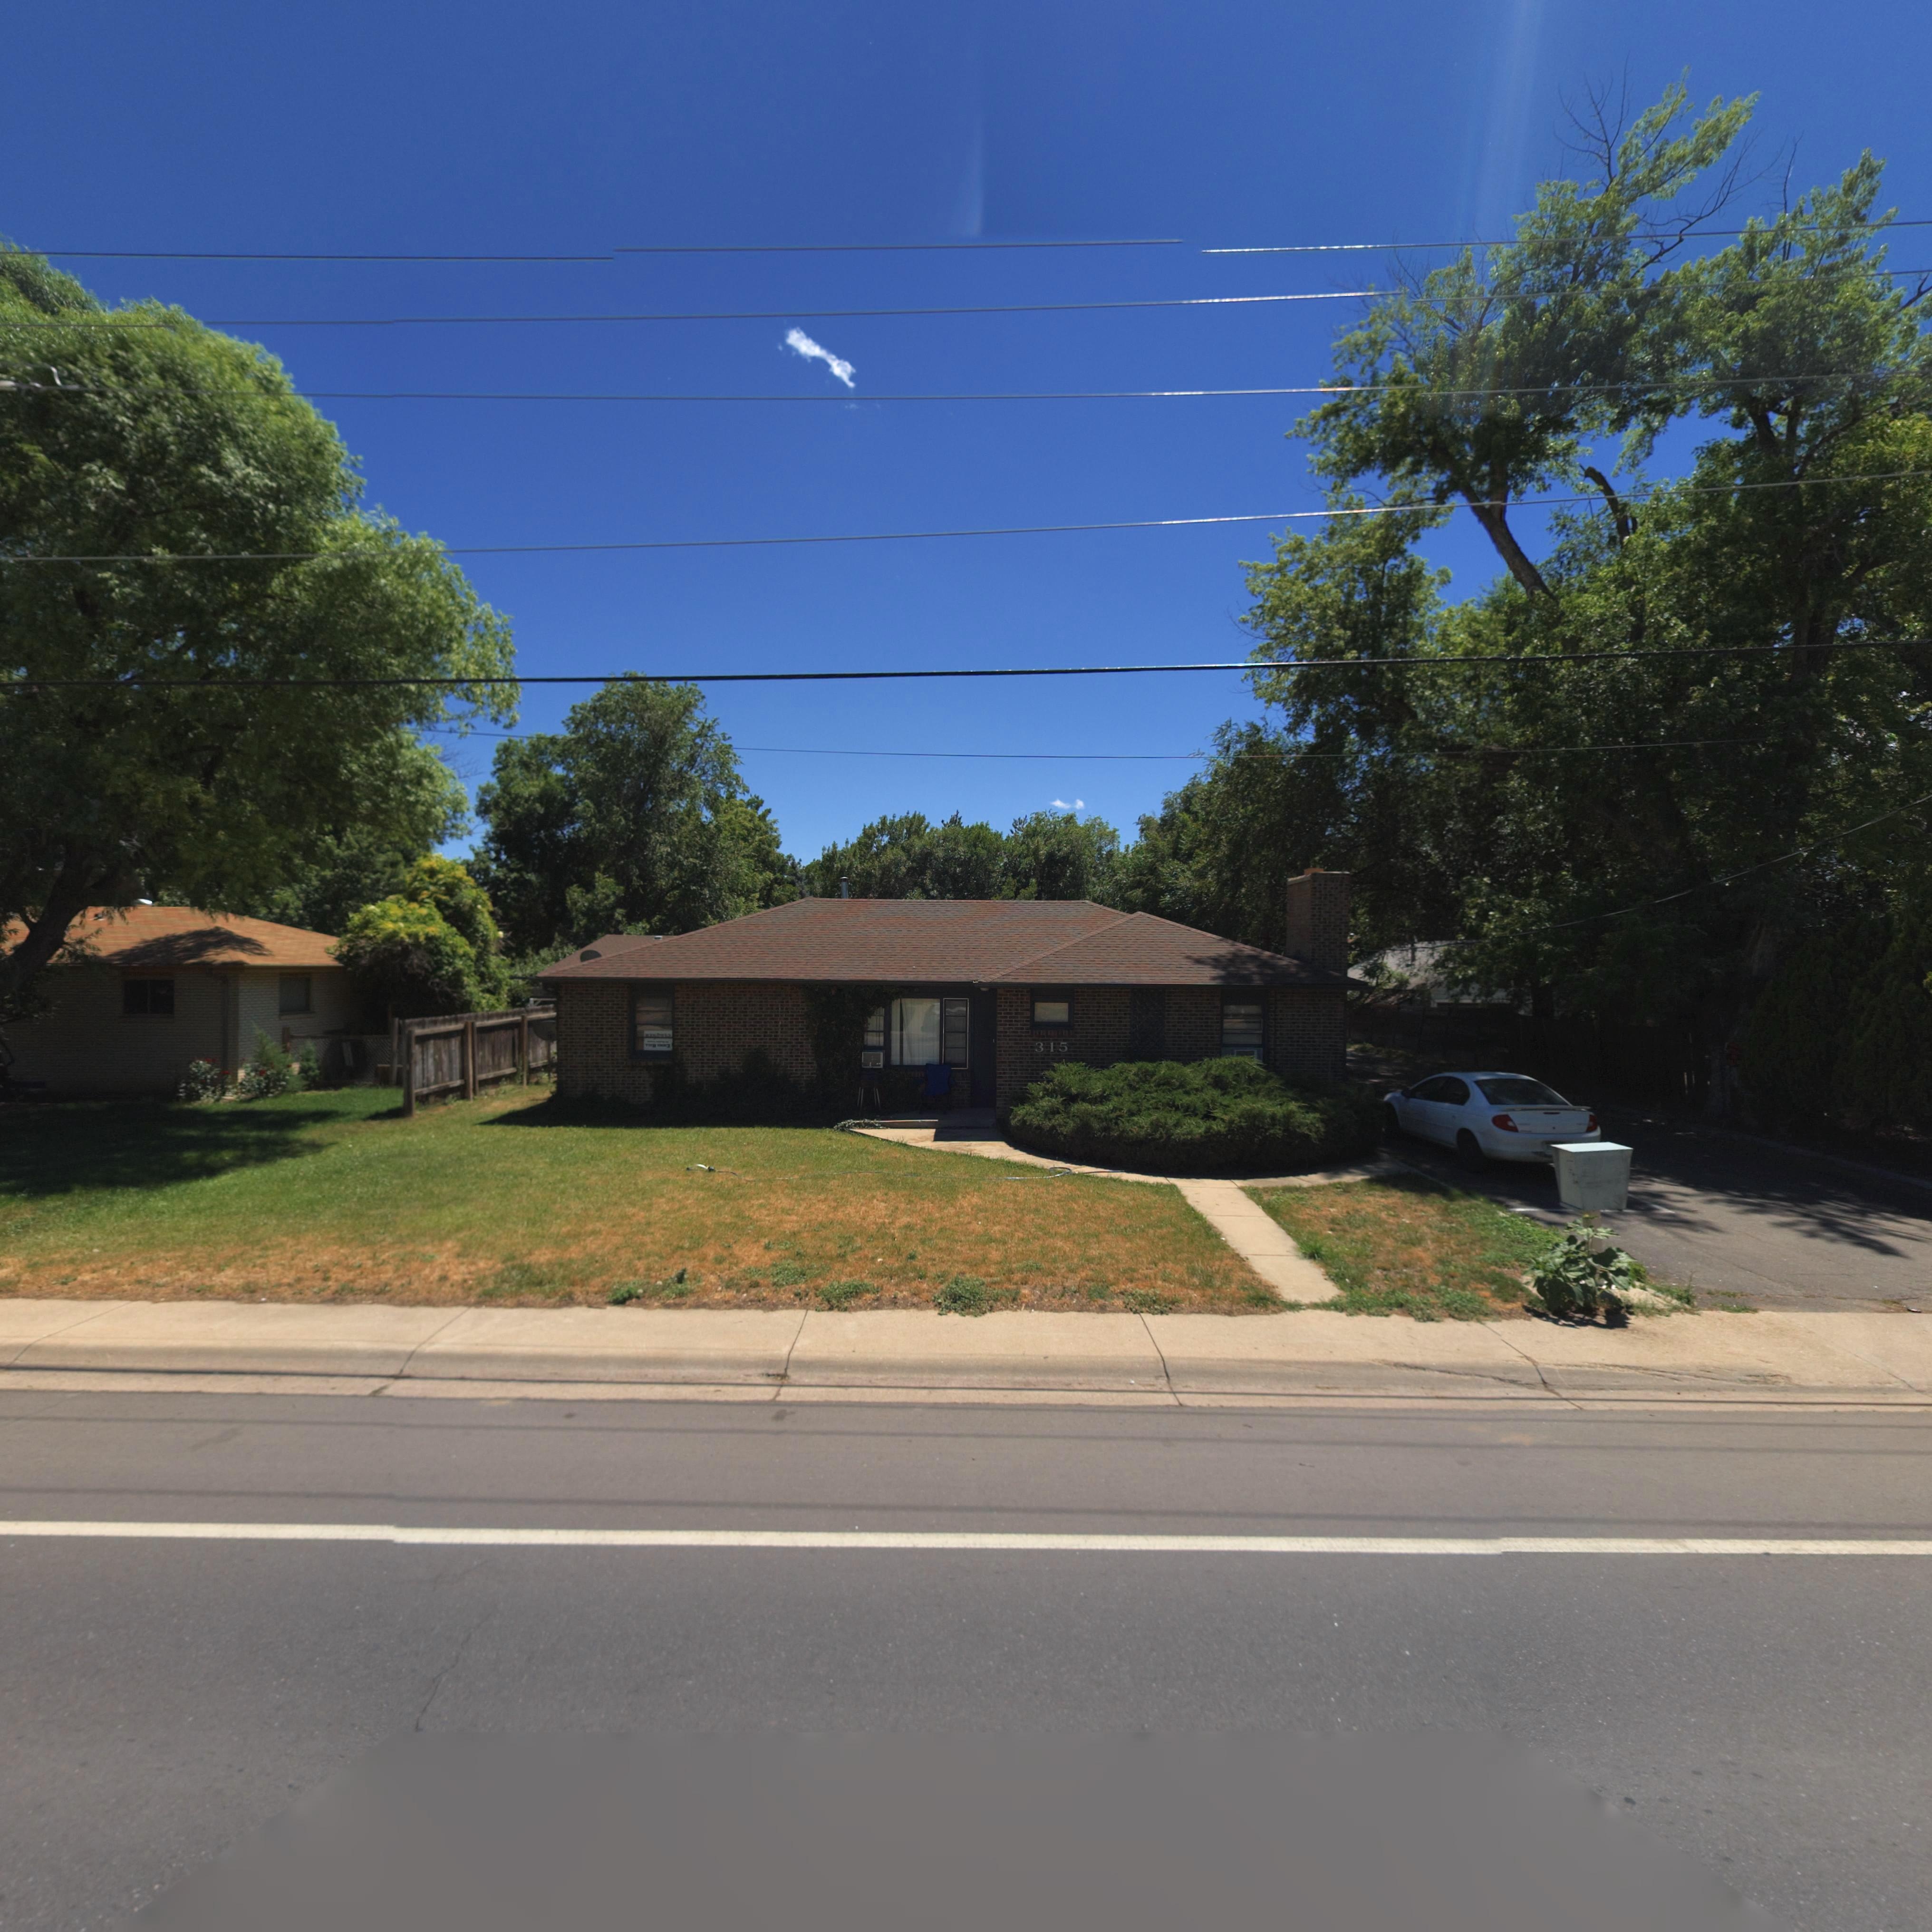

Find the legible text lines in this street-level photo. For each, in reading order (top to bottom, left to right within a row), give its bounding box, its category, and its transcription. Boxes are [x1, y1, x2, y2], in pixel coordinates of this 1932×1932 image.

[1035, 1041, 1067, 1052] StreetNumber: 315